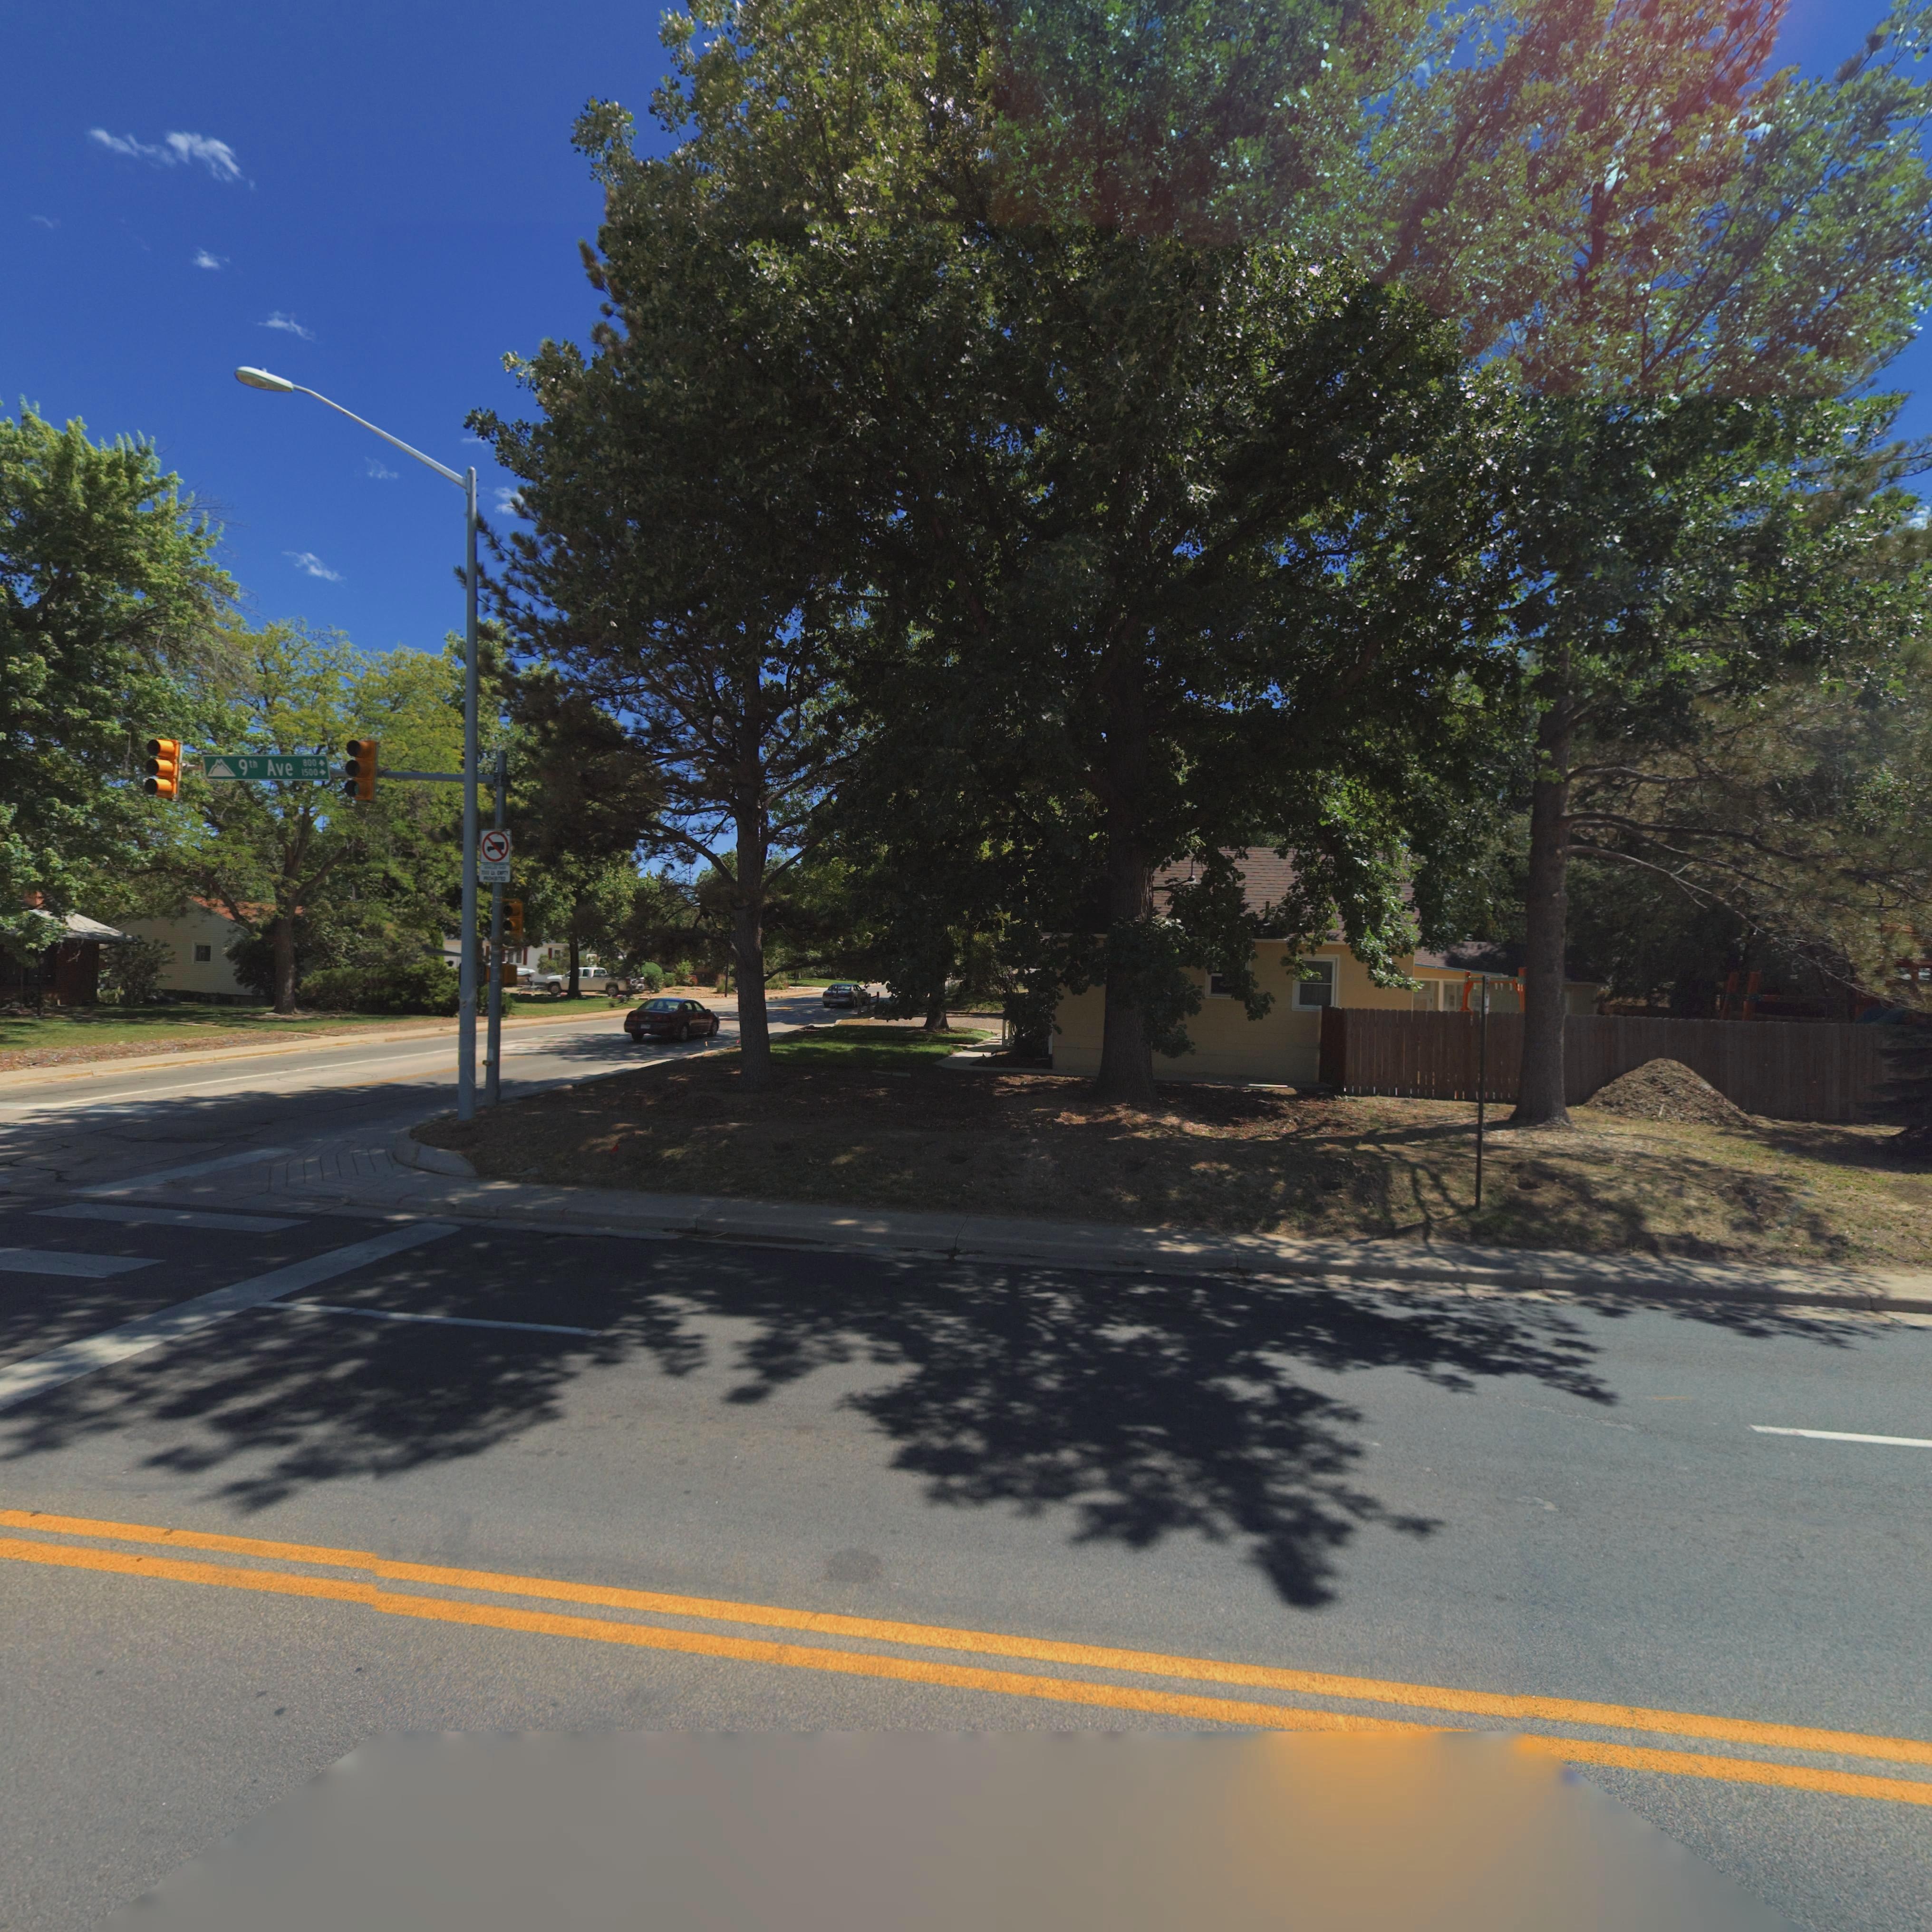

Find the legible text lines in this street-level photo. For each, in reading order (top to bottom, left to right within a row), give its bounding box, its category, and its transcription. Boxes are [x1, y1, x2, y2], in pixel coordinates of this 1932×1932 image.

[302, 758, 317, 766] StreetNumberRange: 800
[238, 758, 293, 776] StreetName: 9th Ave
[301, 768, 327, 776] StreetNumberRange: 1500->